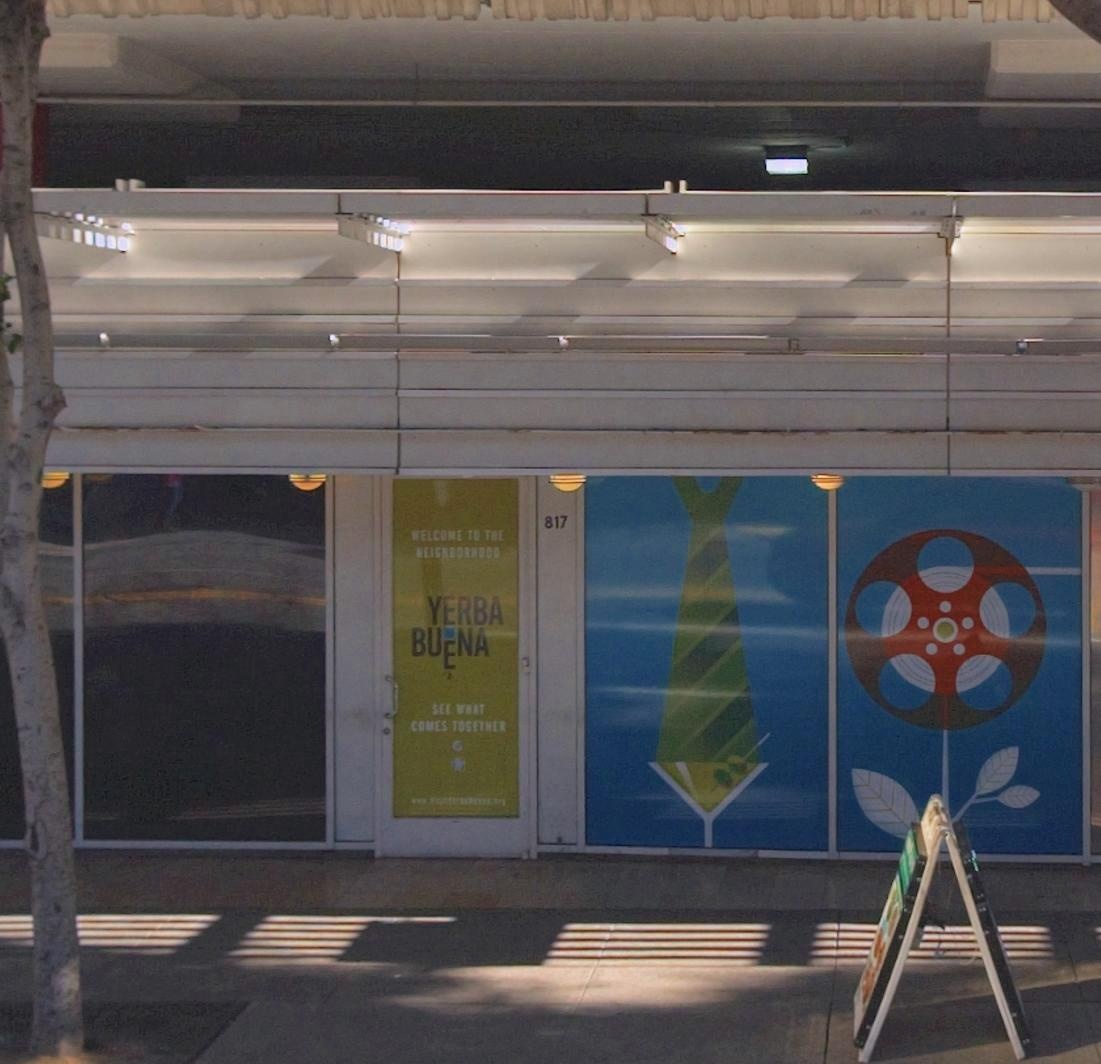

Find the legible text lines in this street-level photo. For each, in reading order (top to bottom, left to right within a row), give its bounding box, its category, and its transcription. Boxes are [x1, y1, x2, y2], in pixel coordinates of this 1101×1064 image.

[544, 514, 569, 530] StreetNumber: 817
[409, 528, 506, 543] None: WELCOME TO THE
[414, 545, 500, 559] None: NEIGHBORHOOD
[424, 594, 507, 628] BusinessName: YERBA
[410, 625, 490, 671] BusinessName: BUENA
[430, 703, 486, 716] None: SEE WHAT
[410, 719, 508, 733] None: COMES TOGETHER